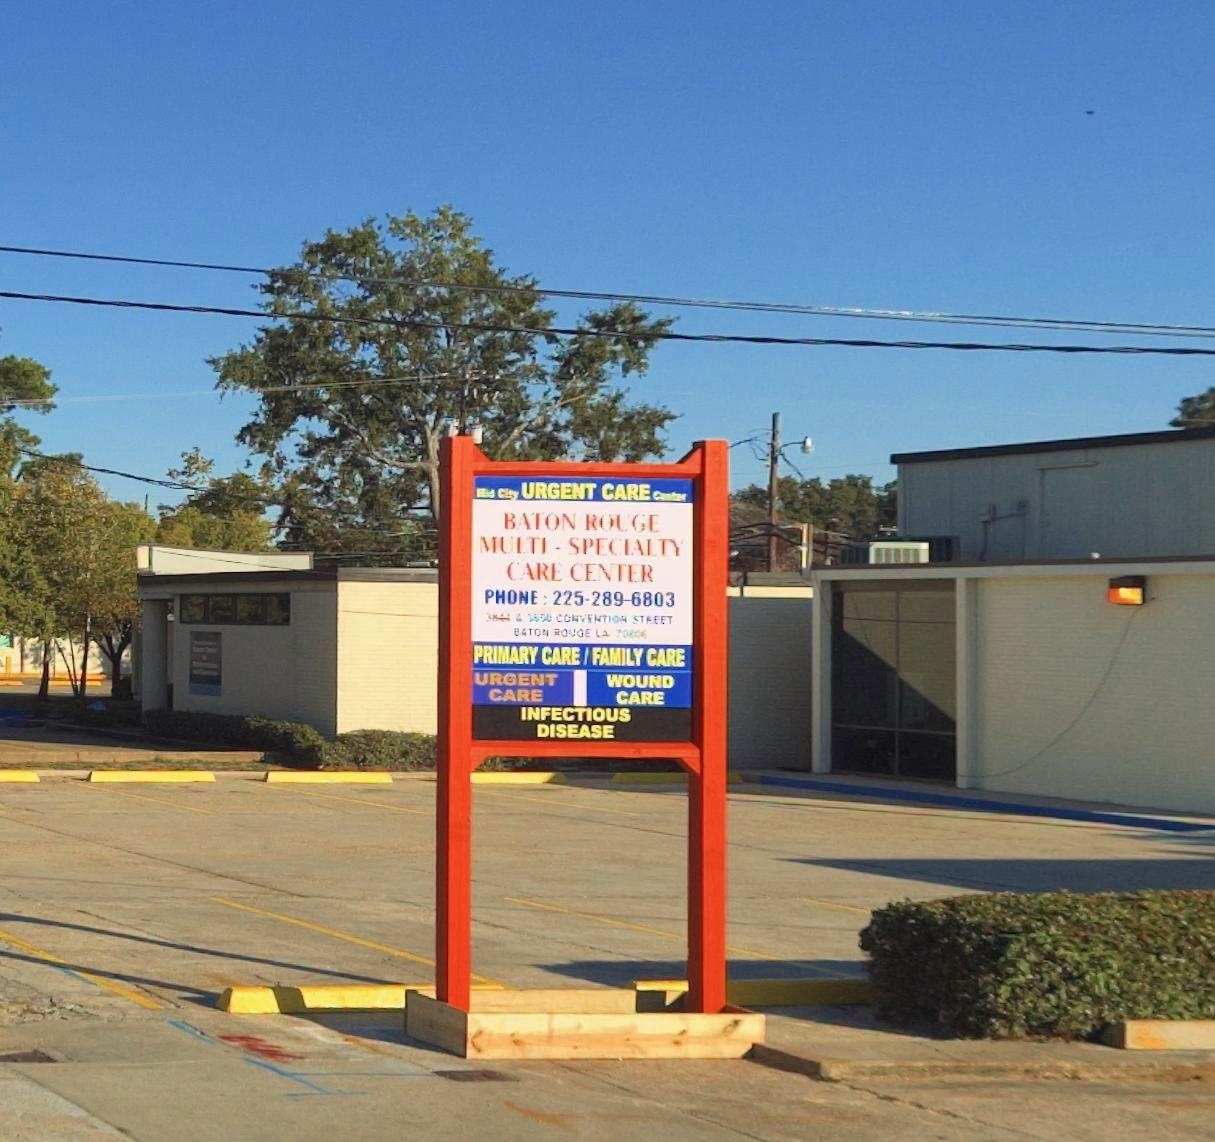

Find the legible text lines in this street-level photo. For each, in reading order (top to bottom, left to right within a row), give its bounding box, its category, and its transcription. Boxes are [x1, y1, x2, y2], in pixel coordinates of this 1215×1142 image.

[475, 480, 689, 503] BusinessName: Mid City URGENT CARE Center
[502, 511, 660, 533] BusinessName: BATON ROUGE
[477, 534, 688, 558] BusinessName: MULTI-SPECIALTY
[505, 559, 656, 584] BusinessName: CARE CENTER
[484, 588, 677, 609] None: PHONE: 225-289-6803
[555, 612, 674, 626] StreetName: CONVENTION STREET
[513, 627, 610, 639] None: BATON ROUGE LA
[472, 644, 686, 668] None: PRIMARY CARE/FAMILY CARE
[472, 672, 559, 687] None: URGENT
[605, 673, 677, 690] None: WOUND
[487, 687, 544, 703] None: CARE
[614, 690, 667, 707] None: CARE
[519, 705, 633, 724] None: INFECTIOUS
[536, 722, 616, 740] None: DISEASE